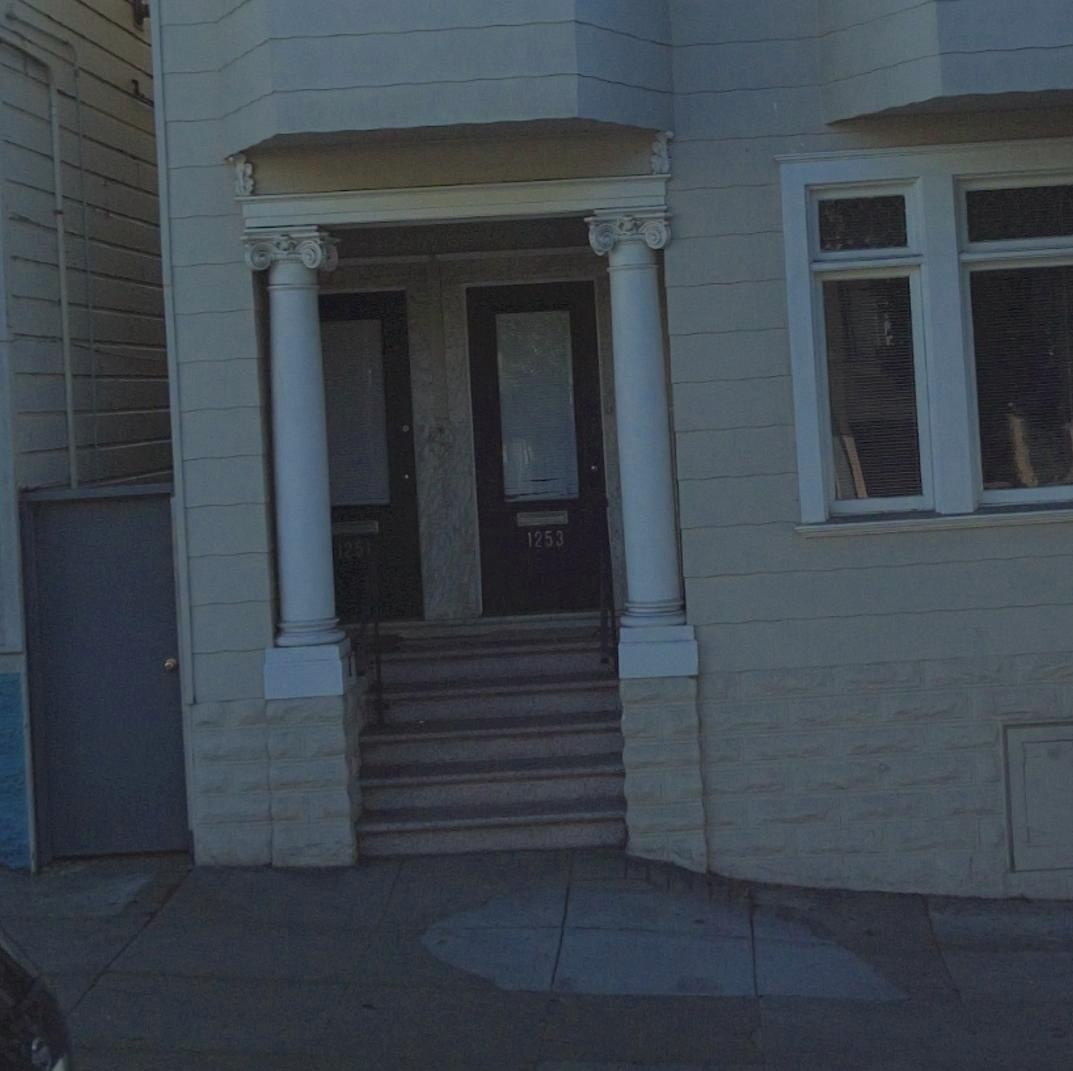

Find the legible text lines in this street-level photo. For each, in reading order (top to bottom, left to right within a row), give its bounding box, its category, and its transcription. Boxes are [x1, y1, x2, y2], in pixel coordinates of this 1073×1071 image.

[336, 538, 372, 560] StreetNumber: 1251
[526, 529, 566, 549] StreetNumber: 1253